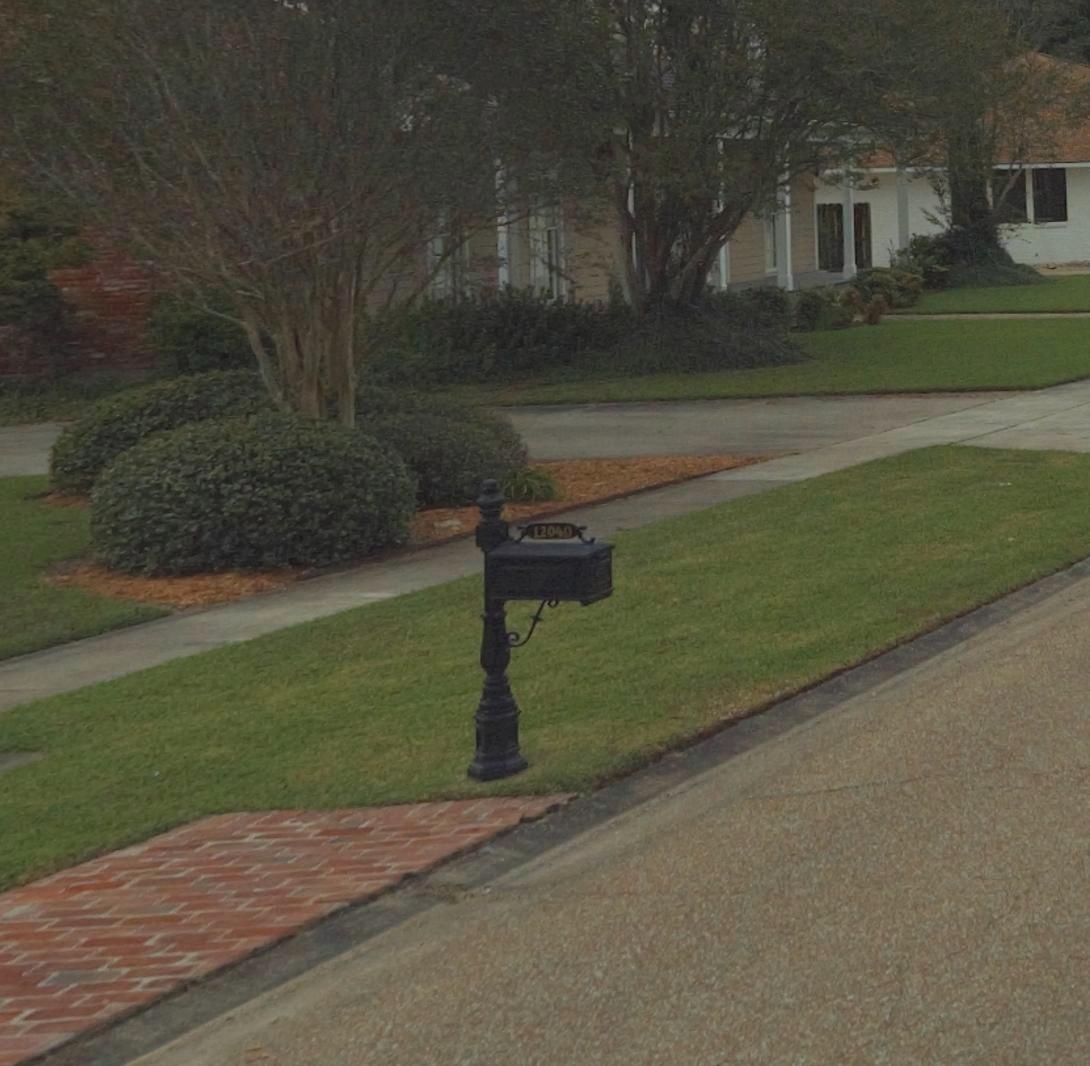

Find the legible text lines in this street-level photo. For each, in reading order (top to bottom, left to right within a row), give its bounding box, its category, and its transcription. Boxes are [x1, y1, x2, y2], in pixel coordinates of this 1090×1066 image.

[530, 524, 573, 539] StreetNumber: 12040